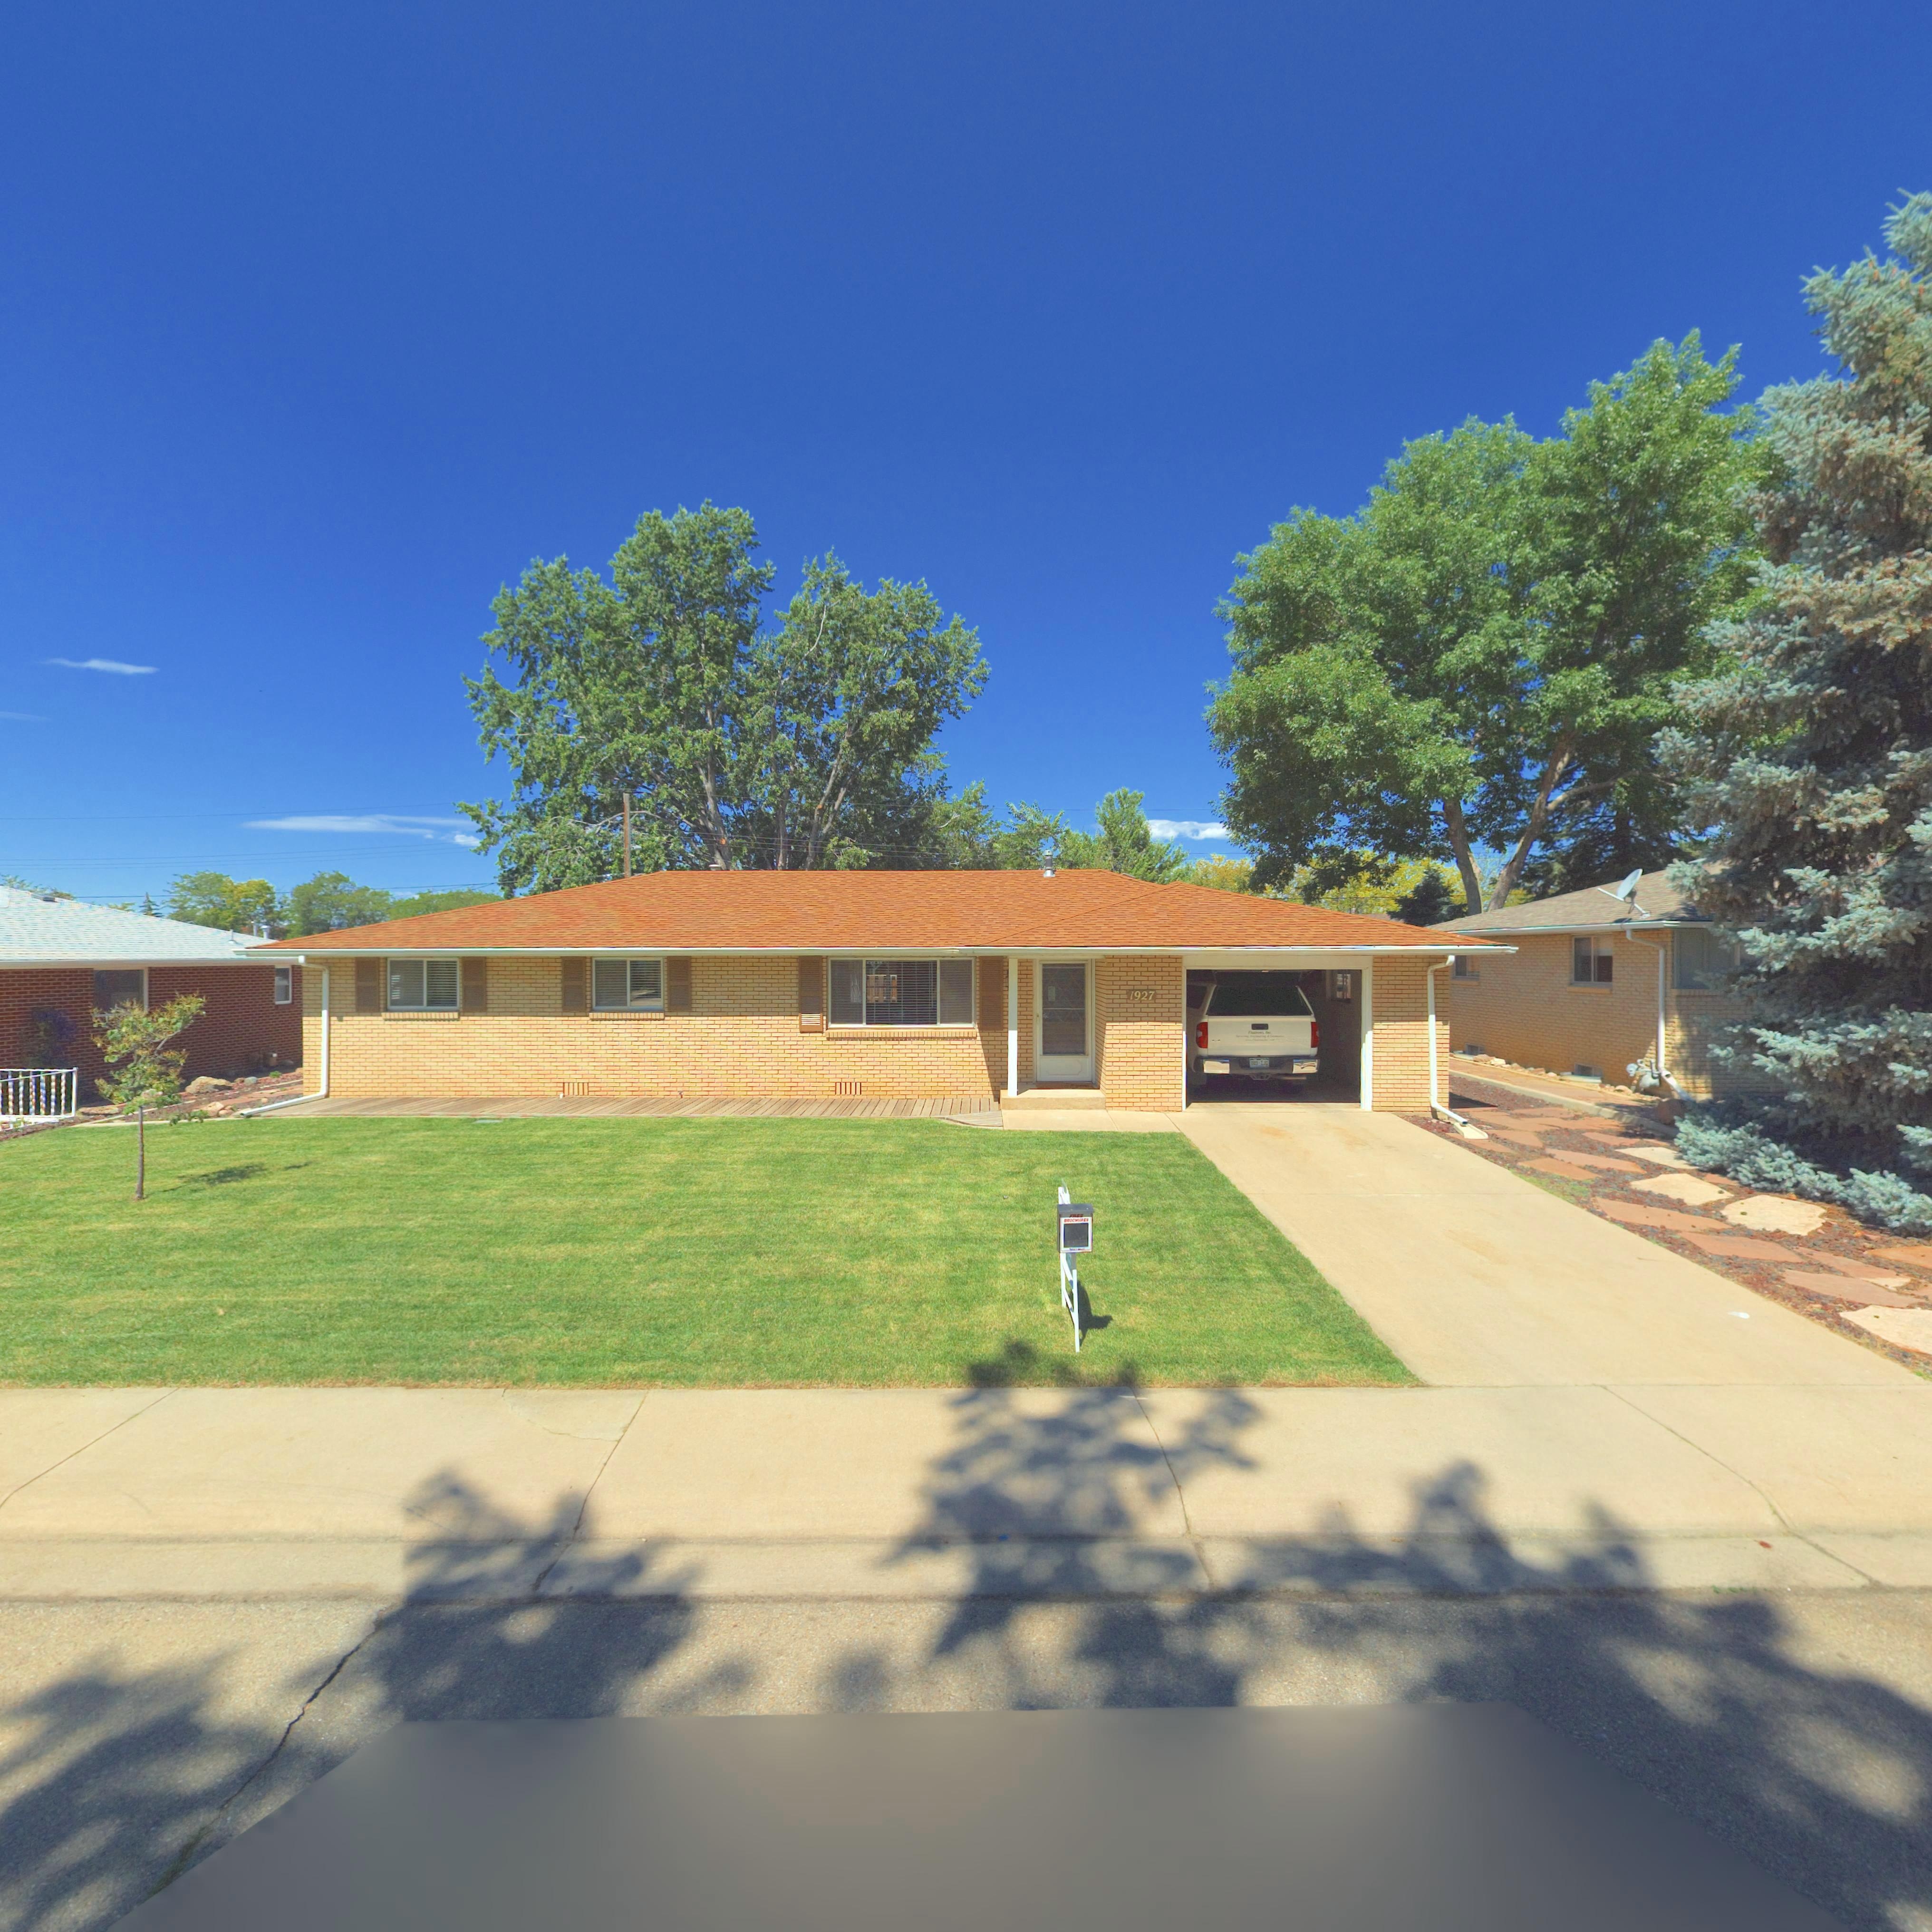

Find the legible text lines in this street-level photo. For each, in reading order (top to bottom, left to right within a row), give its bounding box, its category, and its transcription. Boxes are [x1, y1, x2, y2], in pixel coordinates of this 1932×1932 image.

[1129, 991, 1155, 1000] StreetNumber: 1927